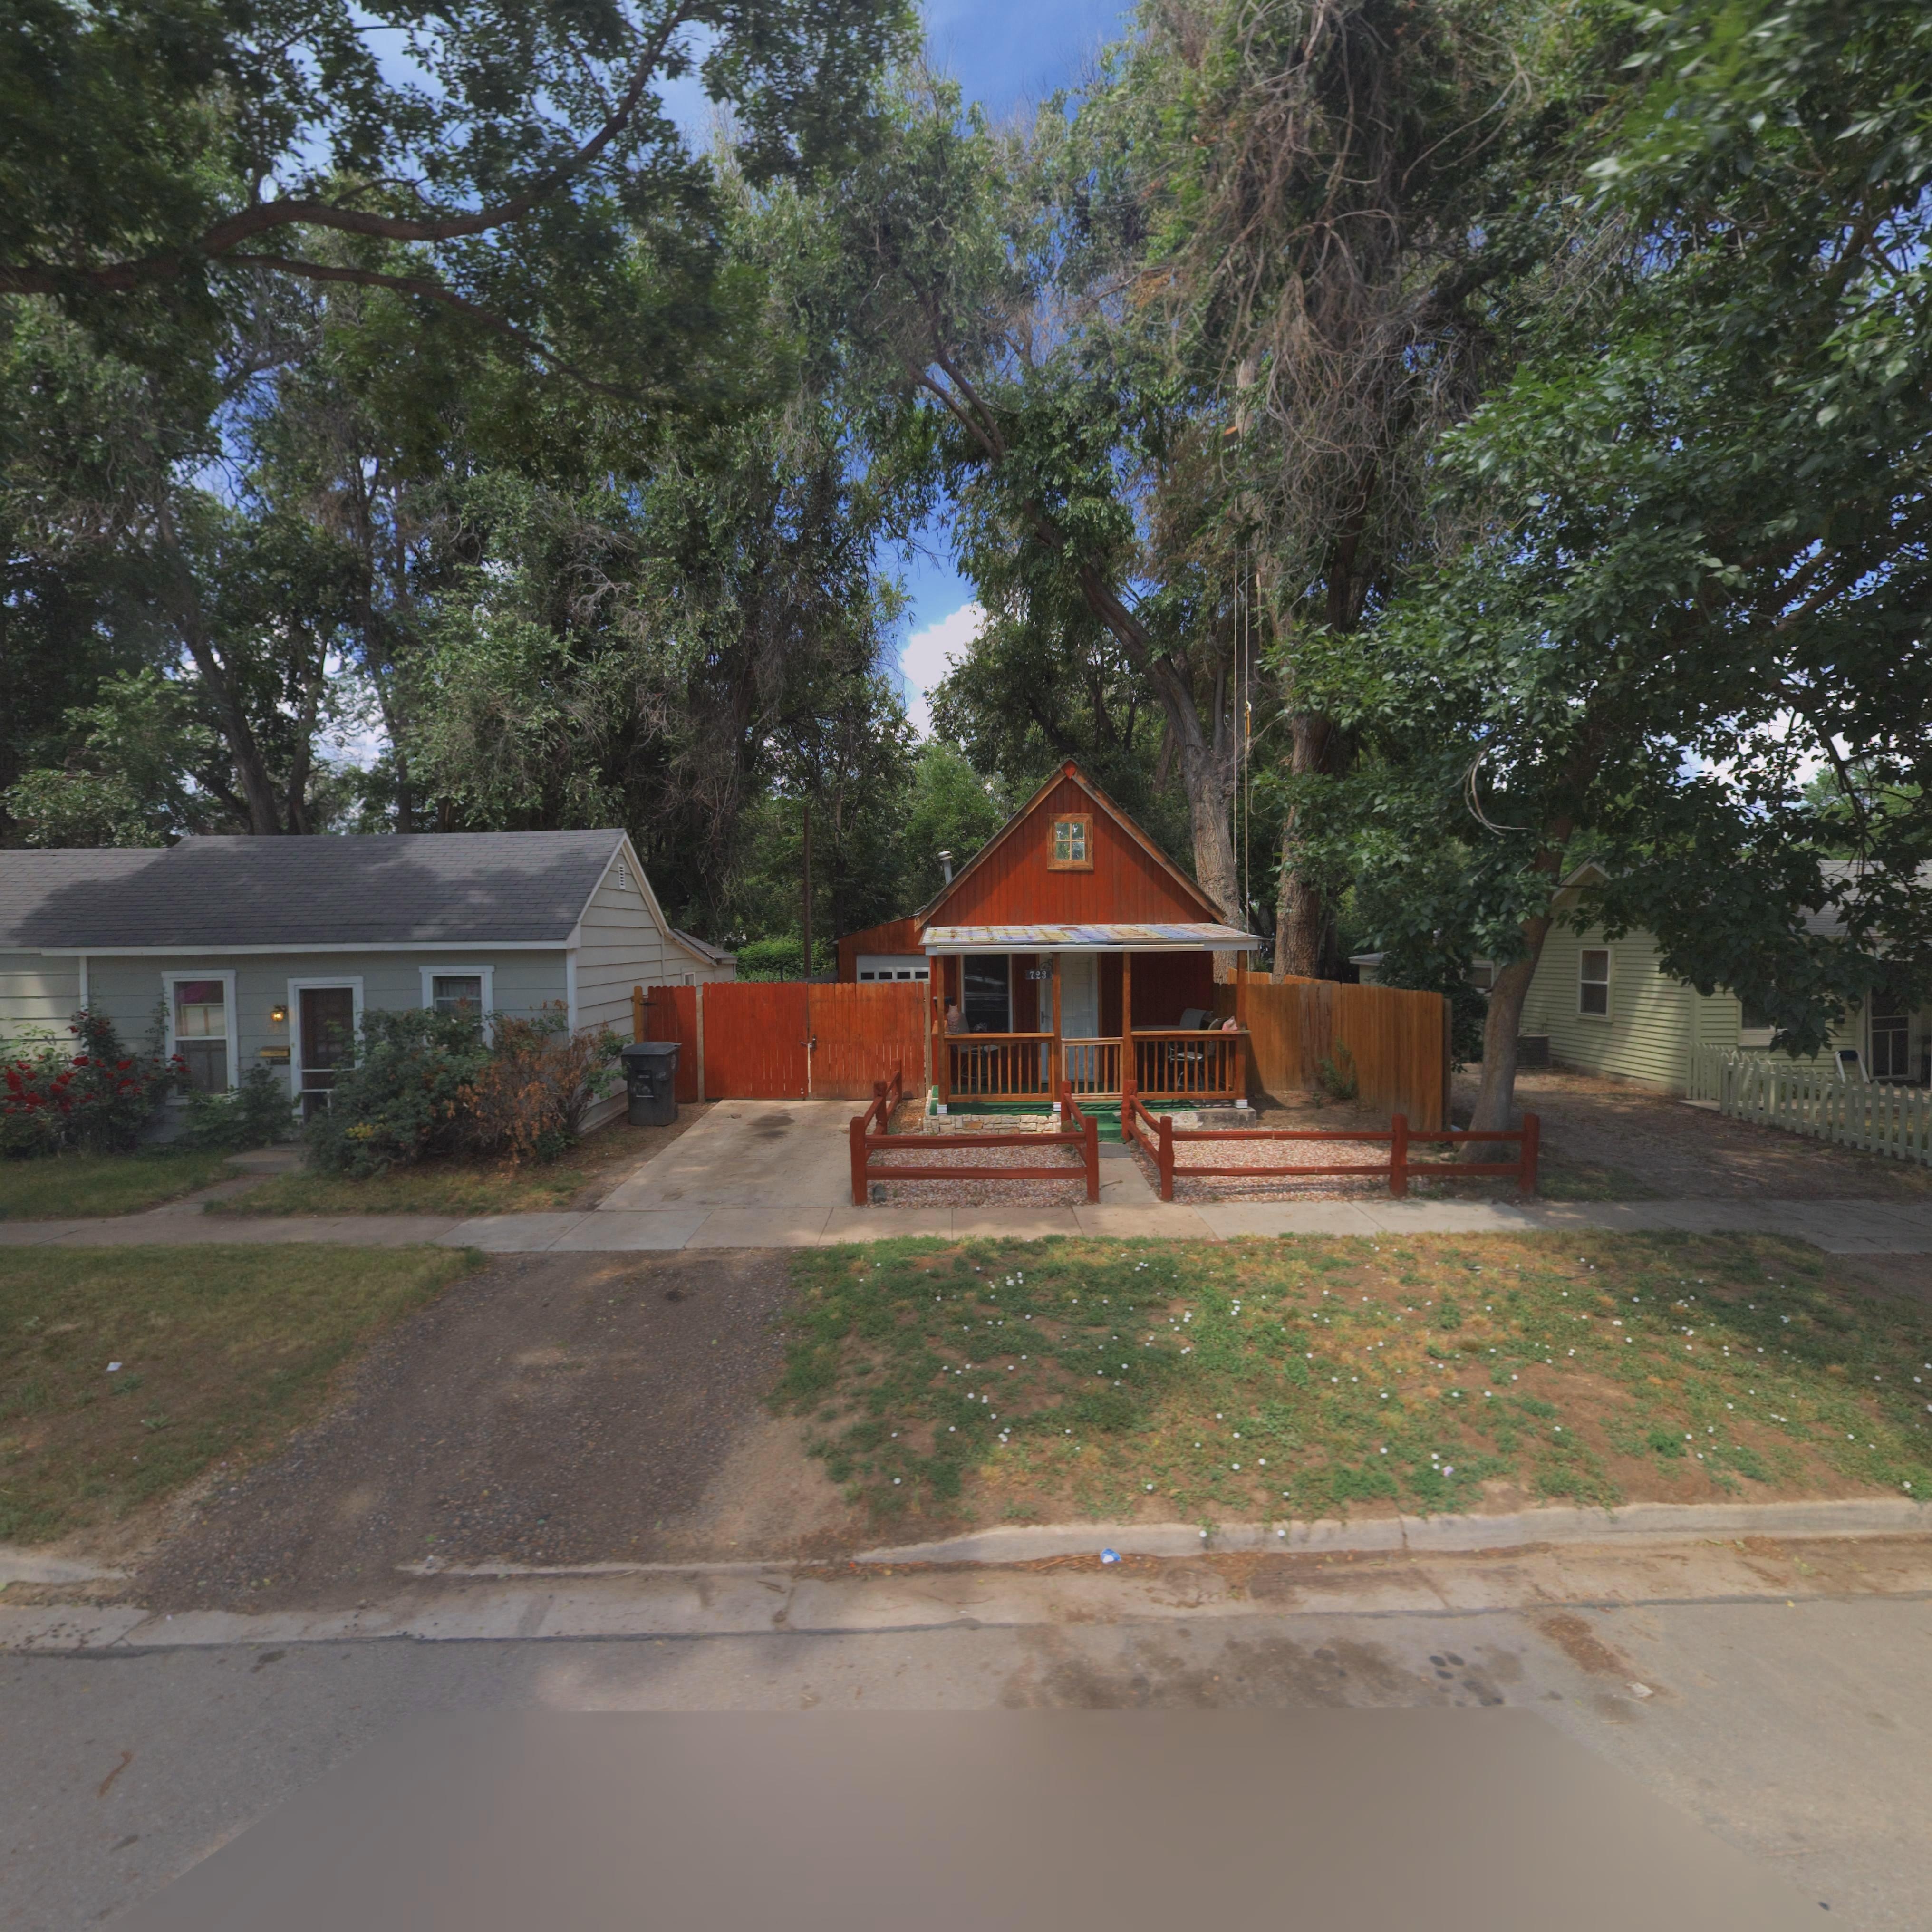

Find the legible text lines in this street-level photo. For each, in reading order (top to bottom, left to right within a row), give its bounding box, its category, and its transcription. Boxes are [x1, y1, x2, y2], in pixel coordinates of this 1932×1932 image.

[1030, 971, 1046, 979] StreetNumber: 723
[265, 1022, 284, 1034] StreetNumber: 72*